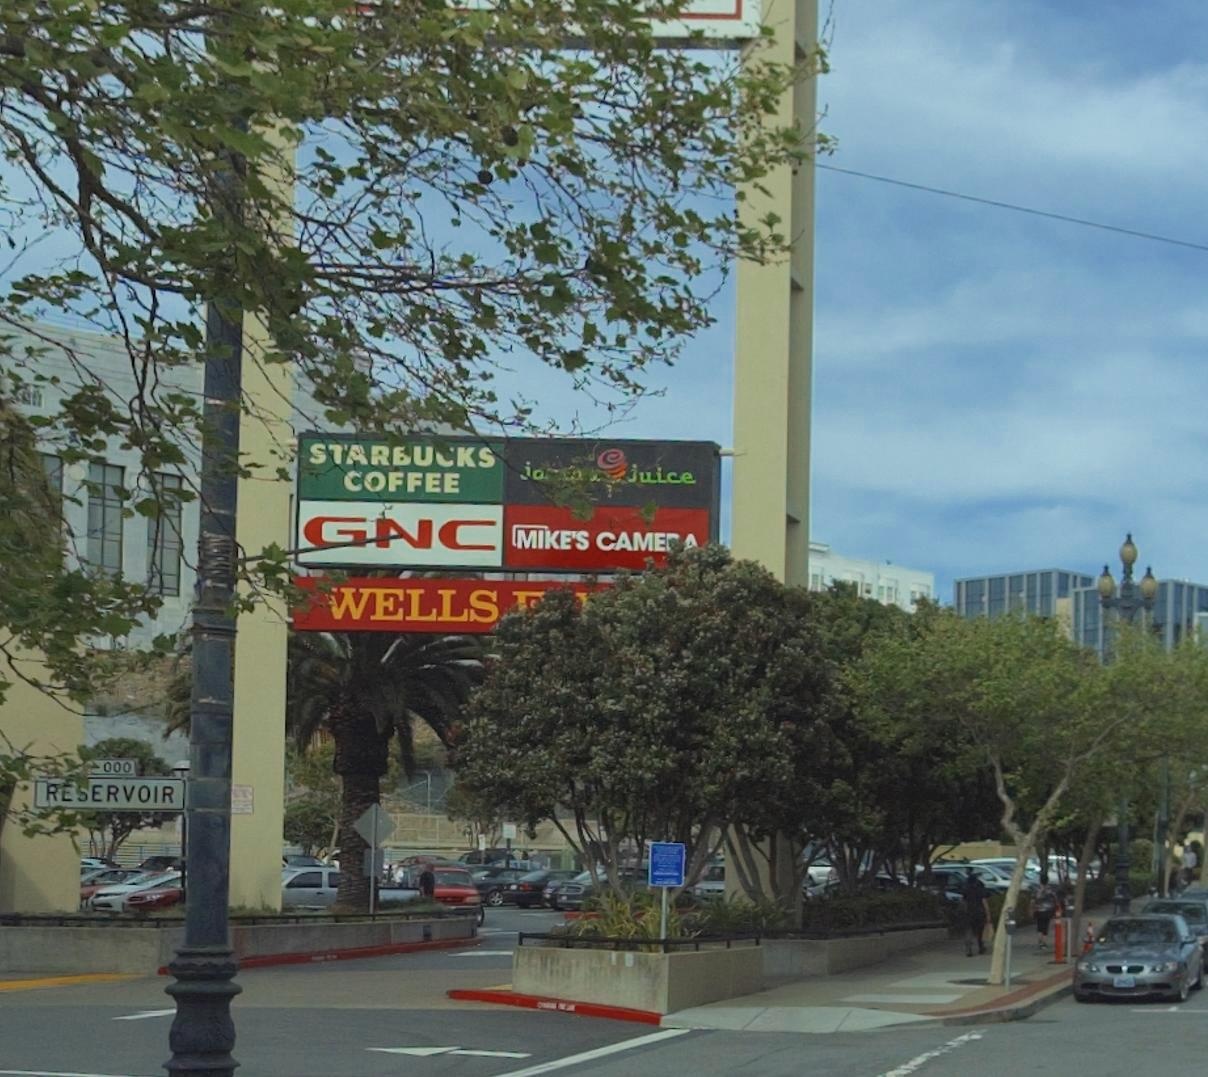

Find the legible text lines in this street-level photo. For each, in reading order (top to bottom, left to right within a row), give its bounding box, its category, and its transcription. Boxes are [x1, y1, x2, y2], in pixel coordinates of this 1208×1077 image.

[340, 468, 462, 496] BusinessName: COFFEE
[306, 441, 498, 471] BusinessName: STAR*U*KS
[516, 456, 534, 484] BusinessName: j
[623, 460, 700, 487] BusinessName: juice
[299, 513, 499, 553] BusinessName: GNC
[514, 527, 668, 555] BusinessName: MIKE'S CAME
[319, 585, 502, 626] BusinessName: WELLS
[88, 759, 134, 775] StreetNumberRange: *000
[43, 780, 178, 806] StreetName: RE*ERVOIR